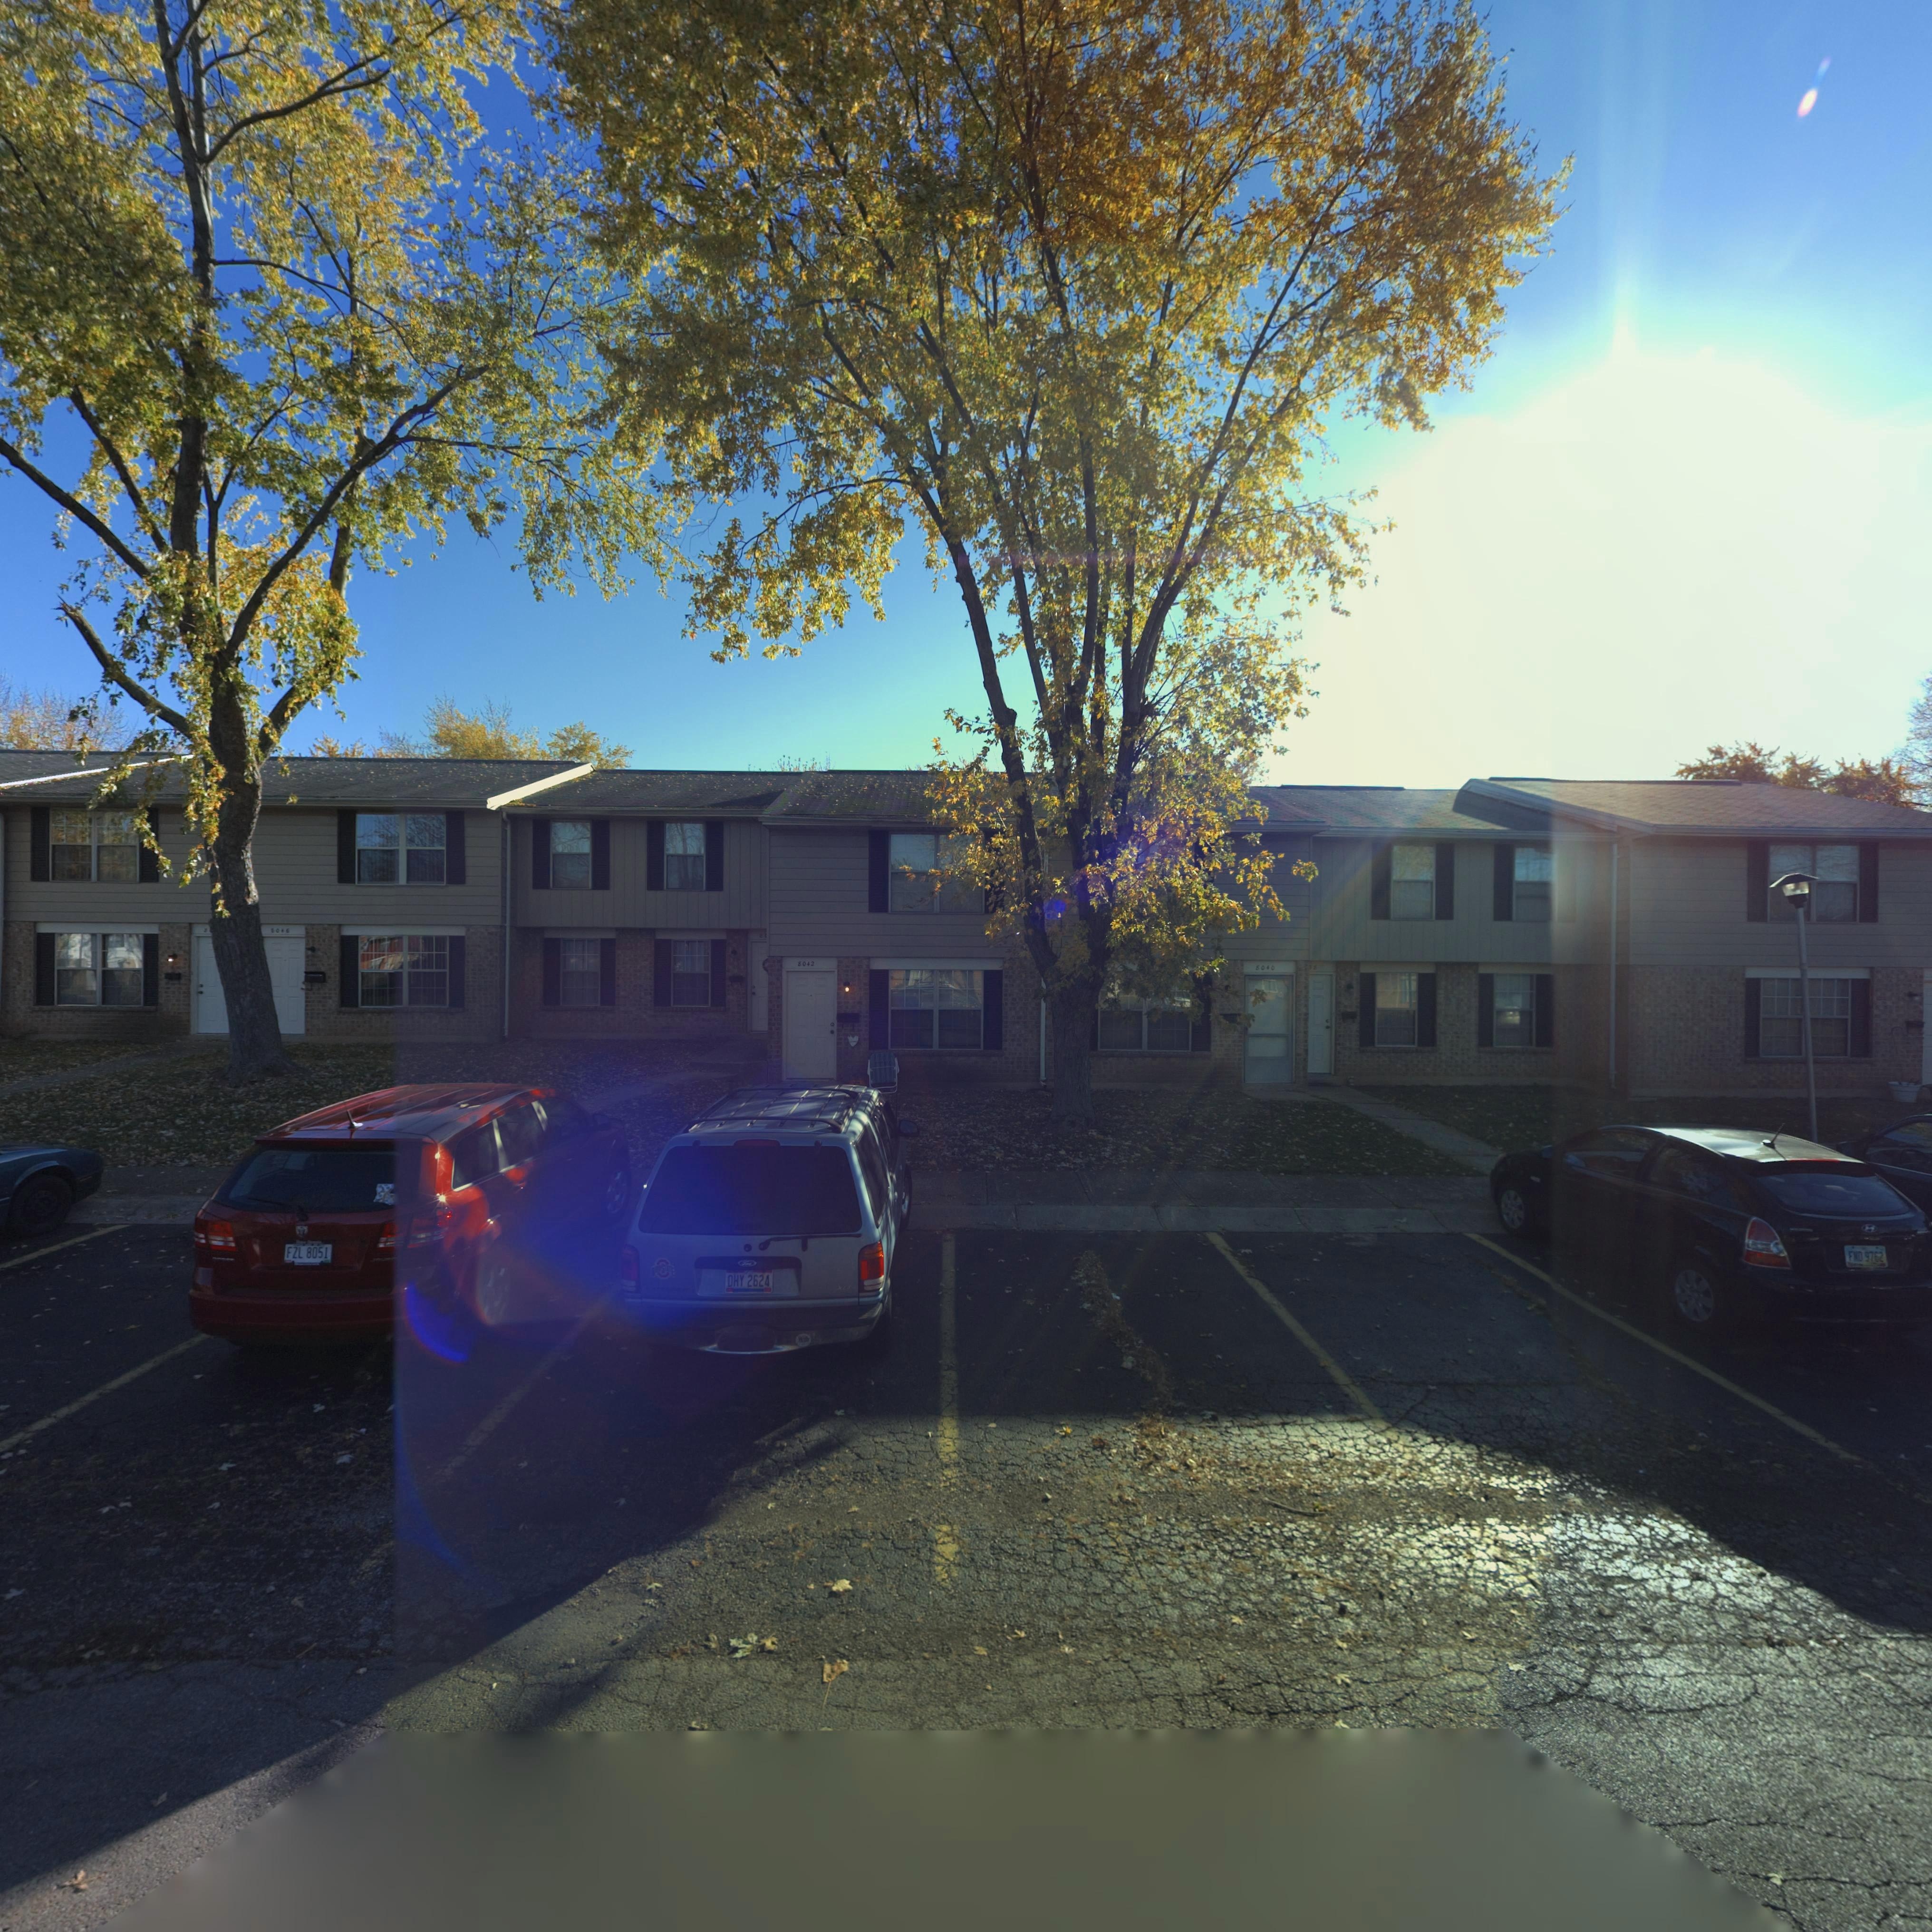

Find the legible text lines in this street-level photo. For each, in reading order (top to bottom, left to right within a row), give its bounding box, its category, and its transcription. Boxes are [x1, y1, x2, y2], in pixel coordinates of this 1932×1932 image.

[203, 927, 208, 933] StreetNumber: 8
[270, 927, 290, 933] StreetNumber: 8046
[759, 933, 763, 938] StreetNumber: 8
[797, 960, 814, 966] StreetNumber: 8042
[1255, 964, 1275, 971] StreetNumber: 8040
[1308, 965, 1317, 971] StreetNumber: 38